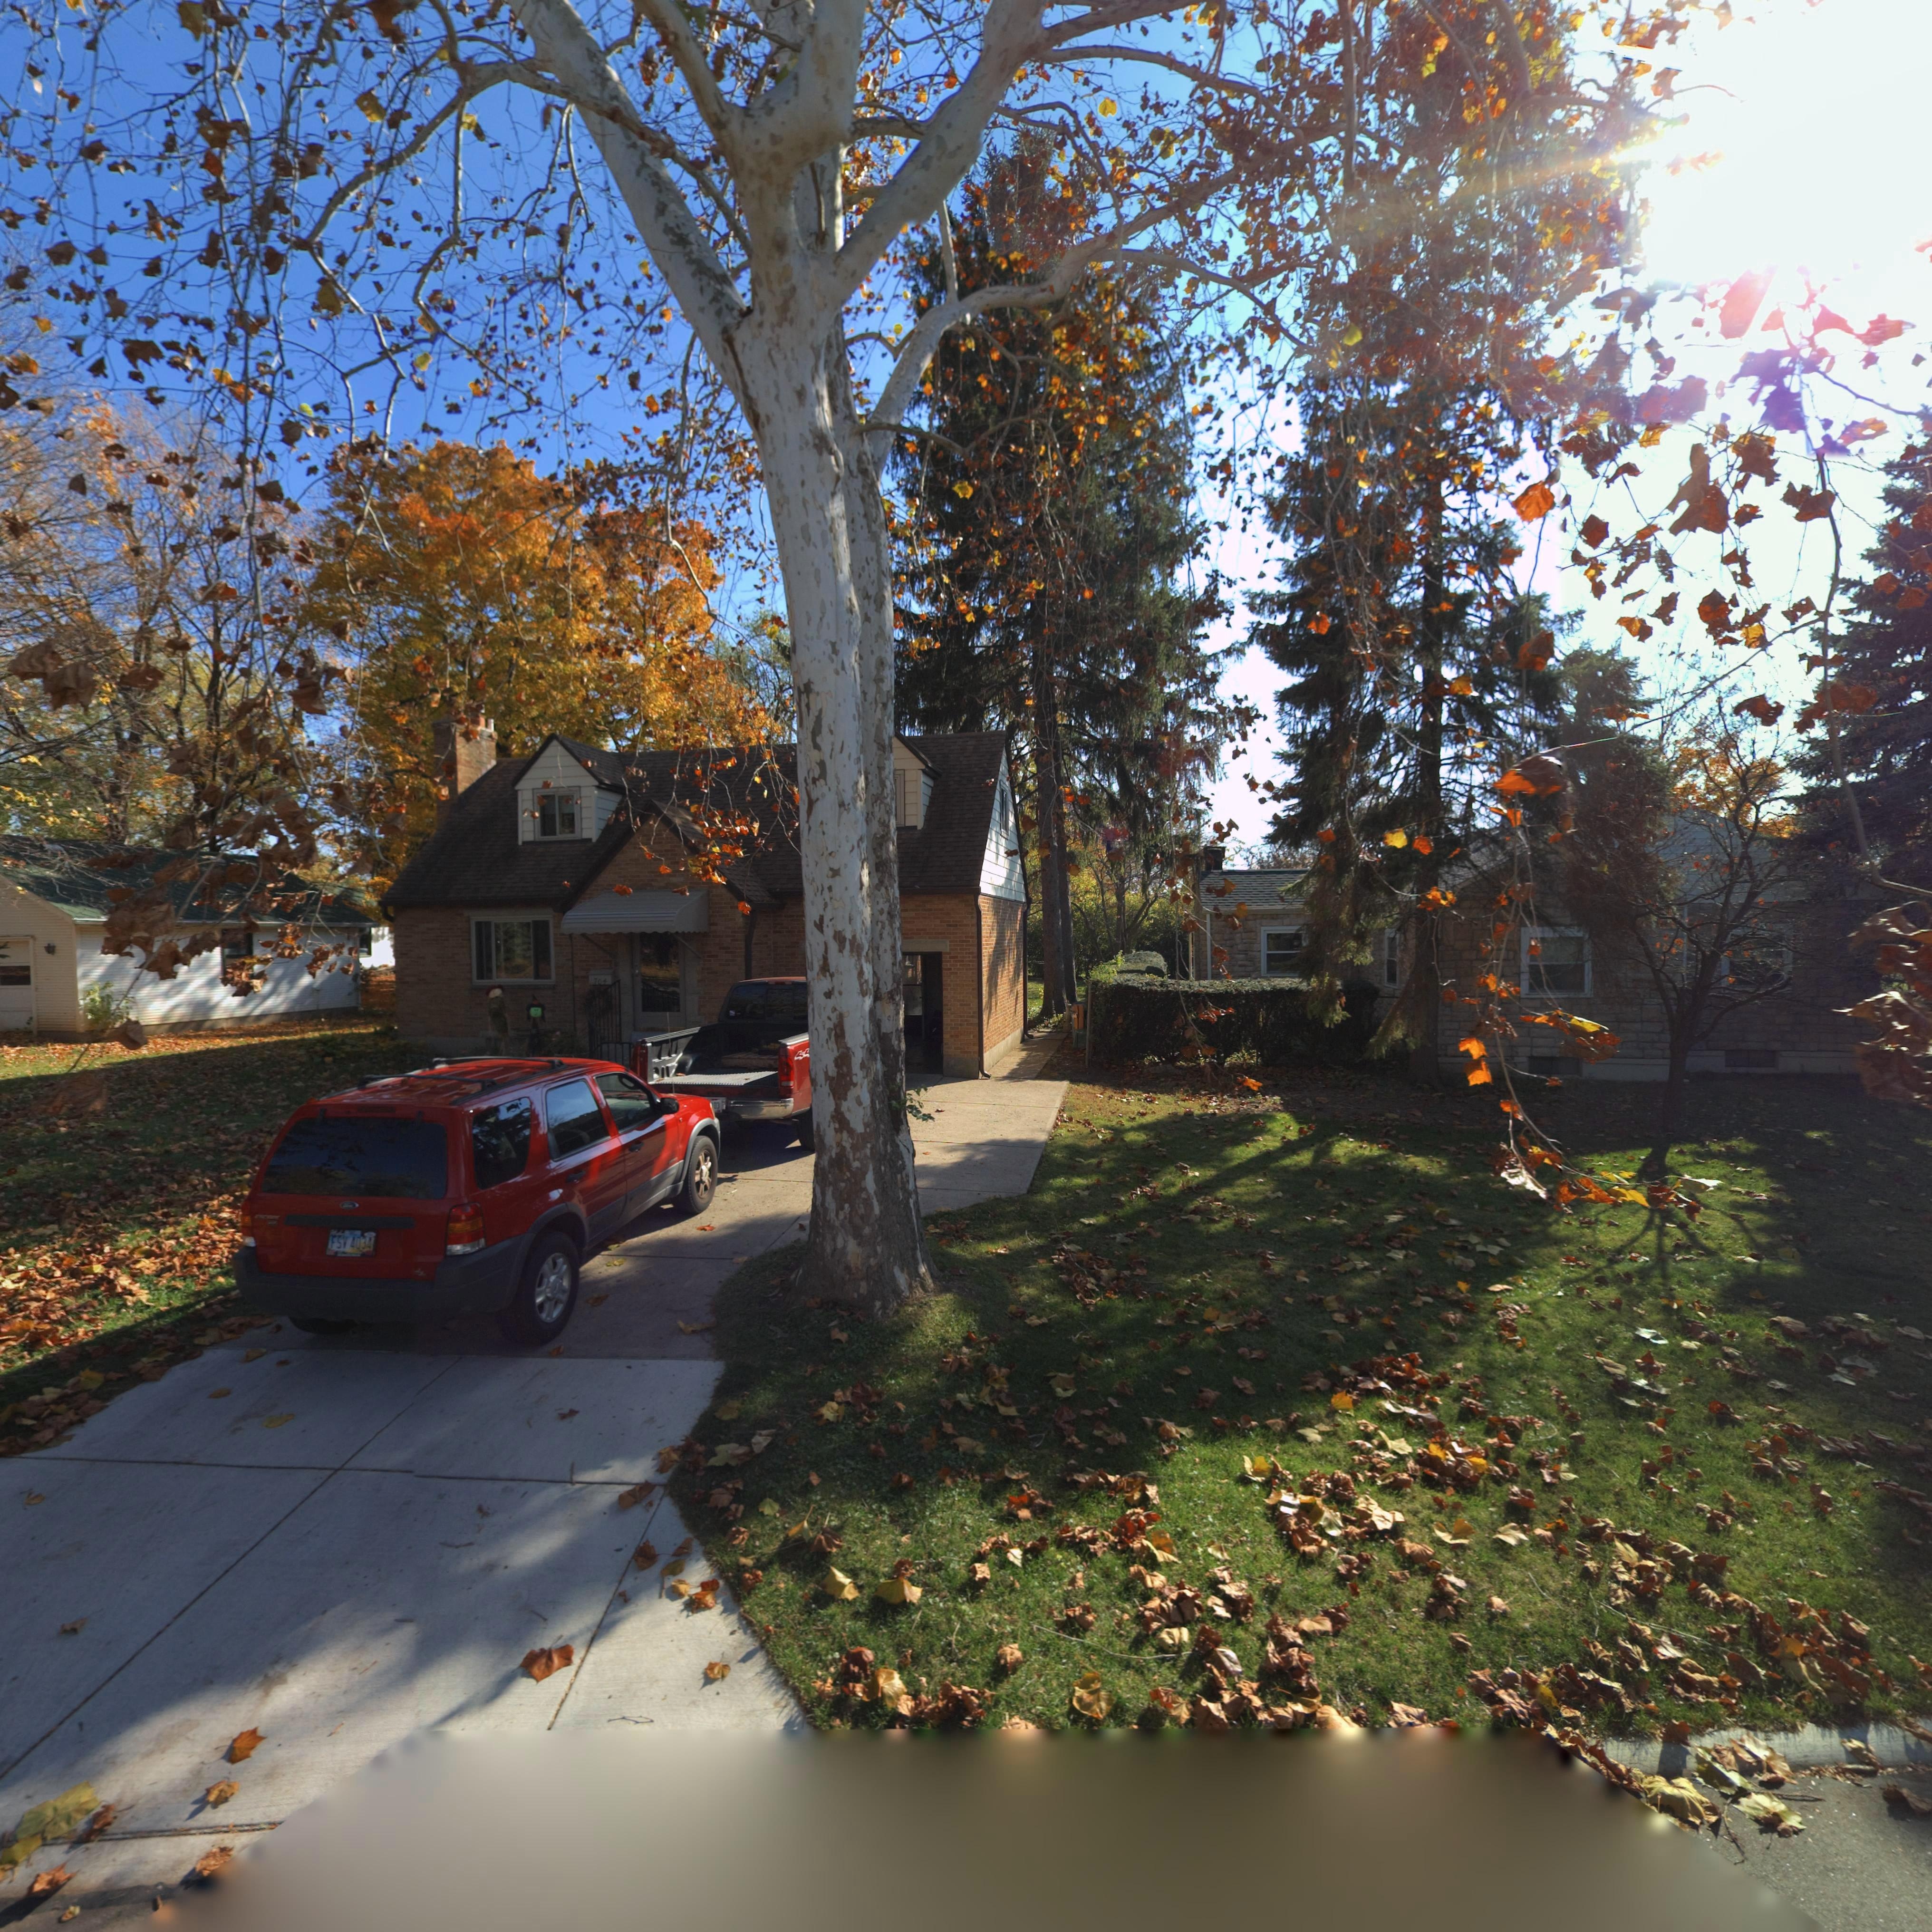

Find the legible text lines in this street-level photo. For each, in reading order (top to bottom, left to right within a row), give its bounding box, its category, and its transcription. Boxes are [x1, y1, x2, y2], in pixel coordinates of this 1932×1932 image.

[593, 977, 609, 985] StreetNumber: 704